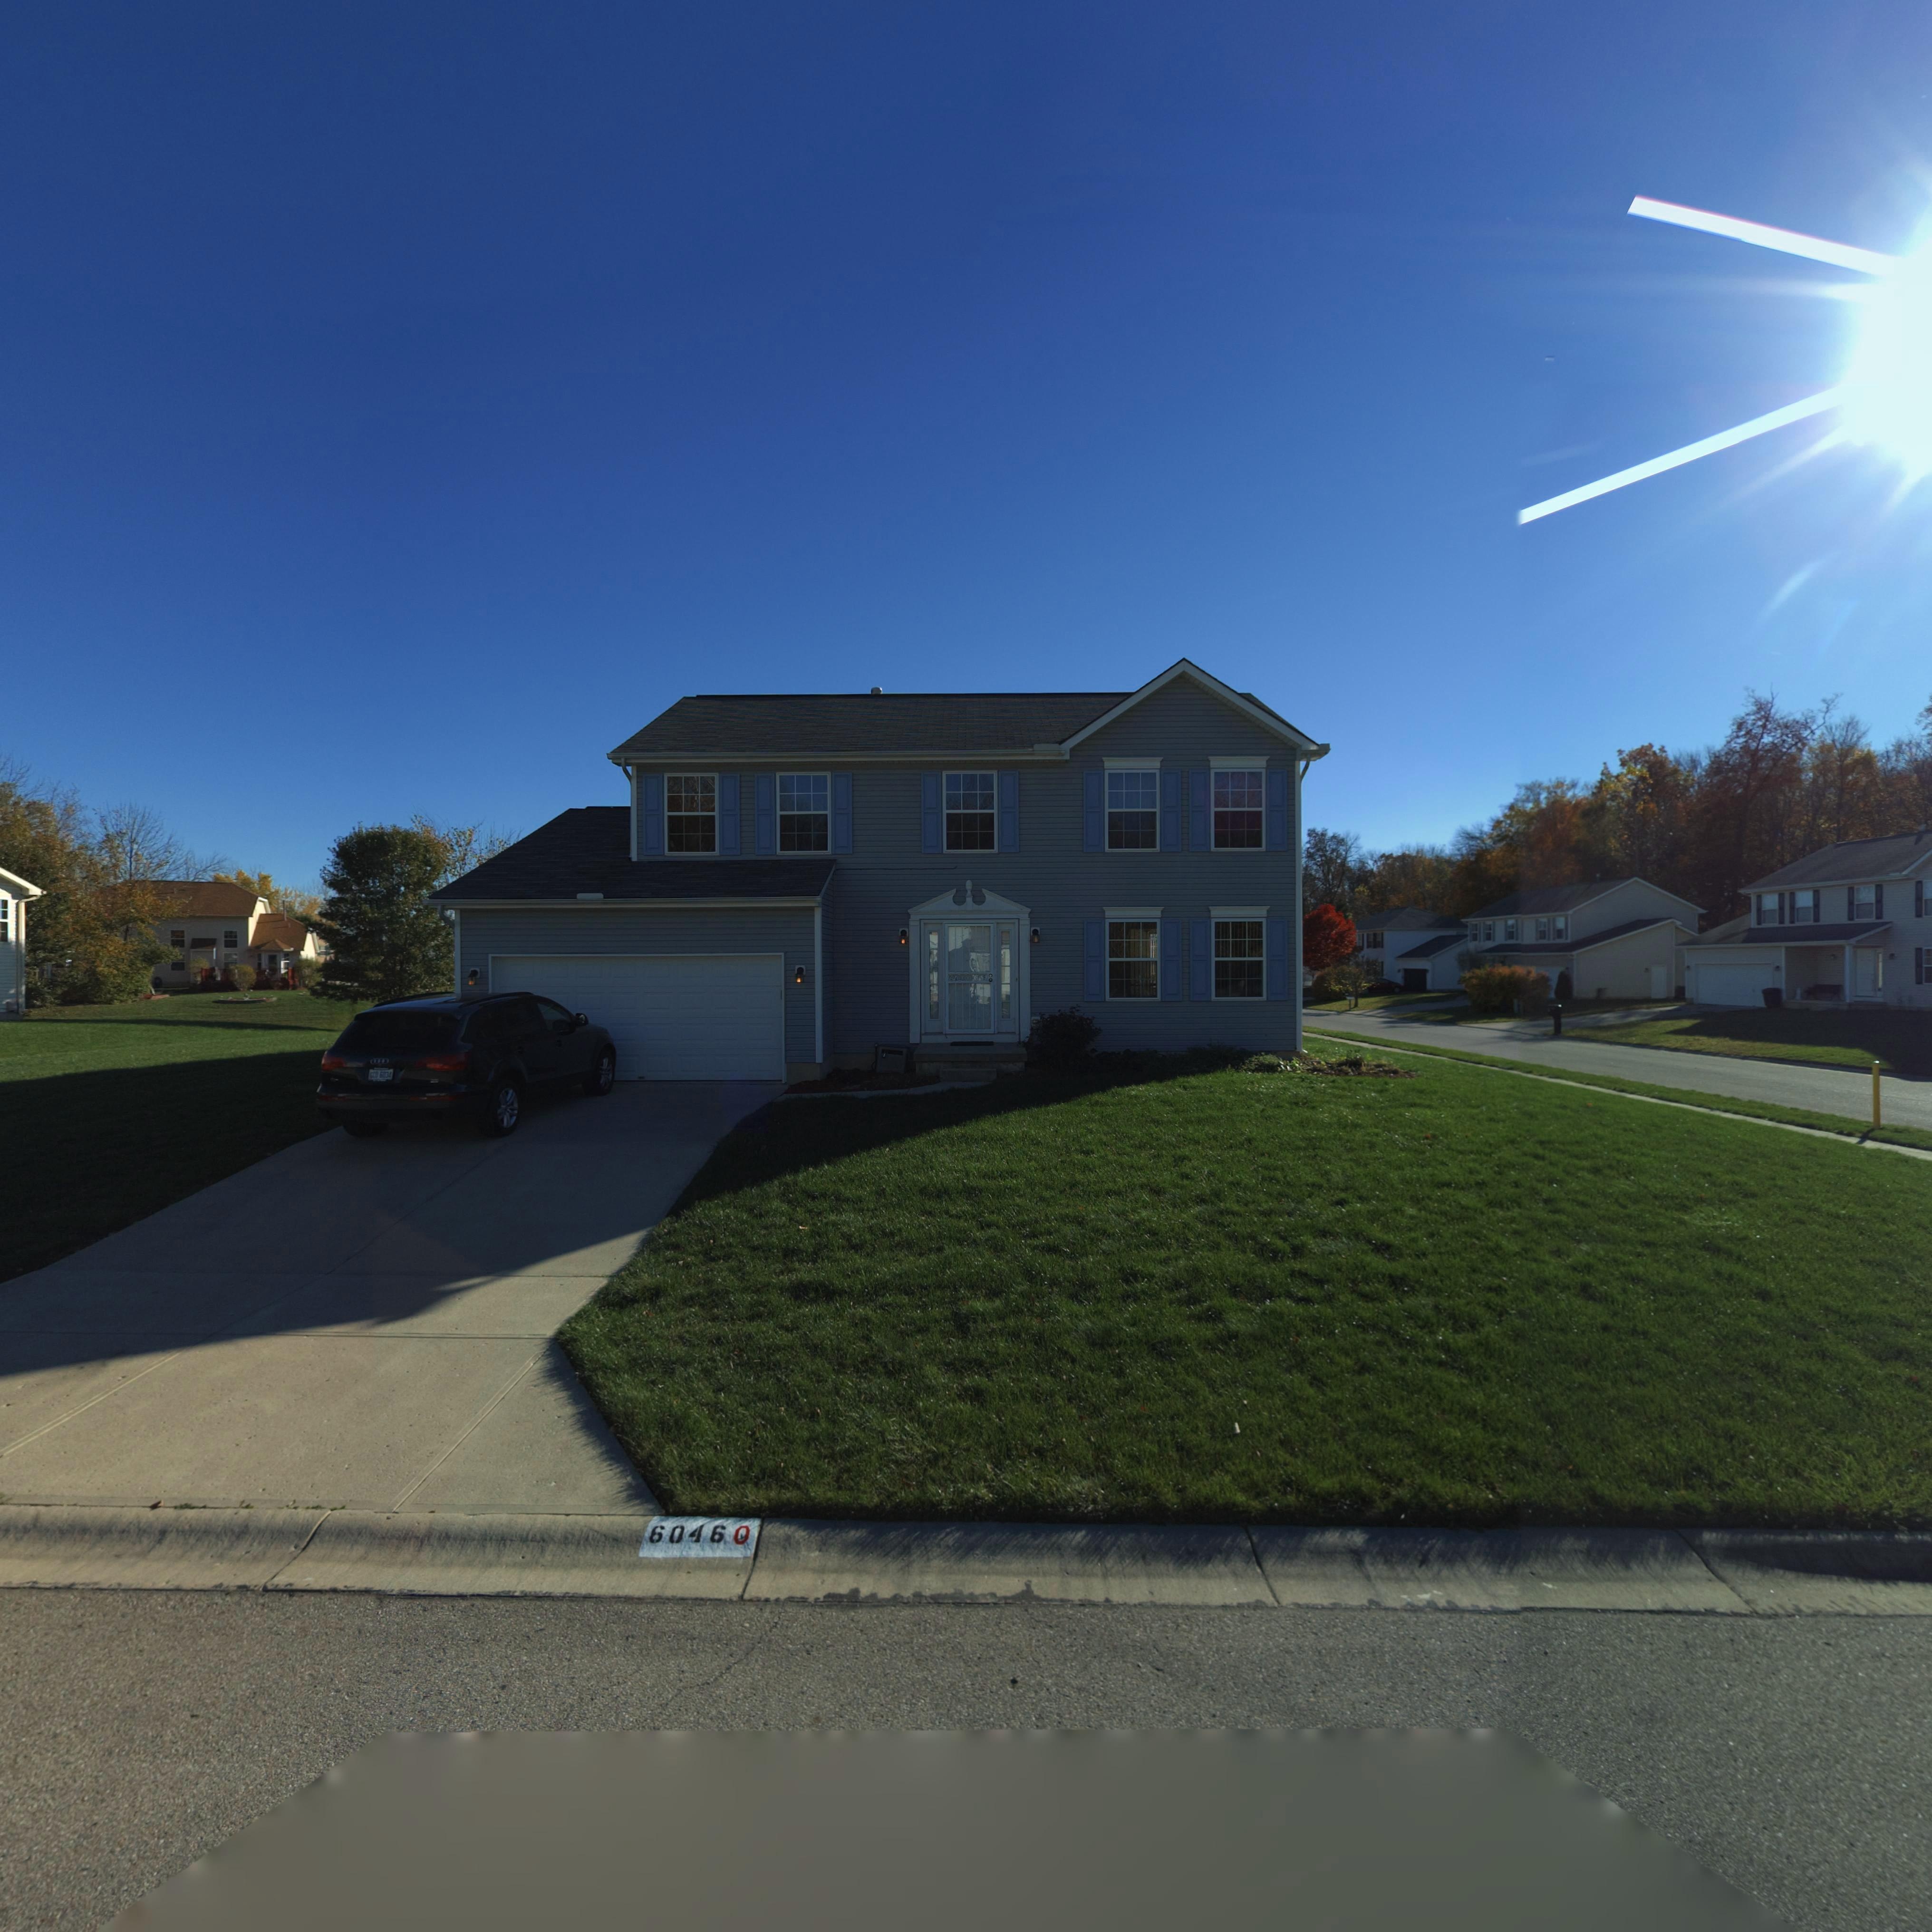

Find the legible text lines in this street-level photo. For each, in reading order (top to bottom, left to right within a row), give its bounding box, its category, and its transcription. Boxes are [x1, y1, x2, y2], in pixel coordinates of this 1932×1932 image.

[369, 1071, 392, 1079] None: GCO 603*
[647, 1523, 752, 1546] StreetNumber: 60460